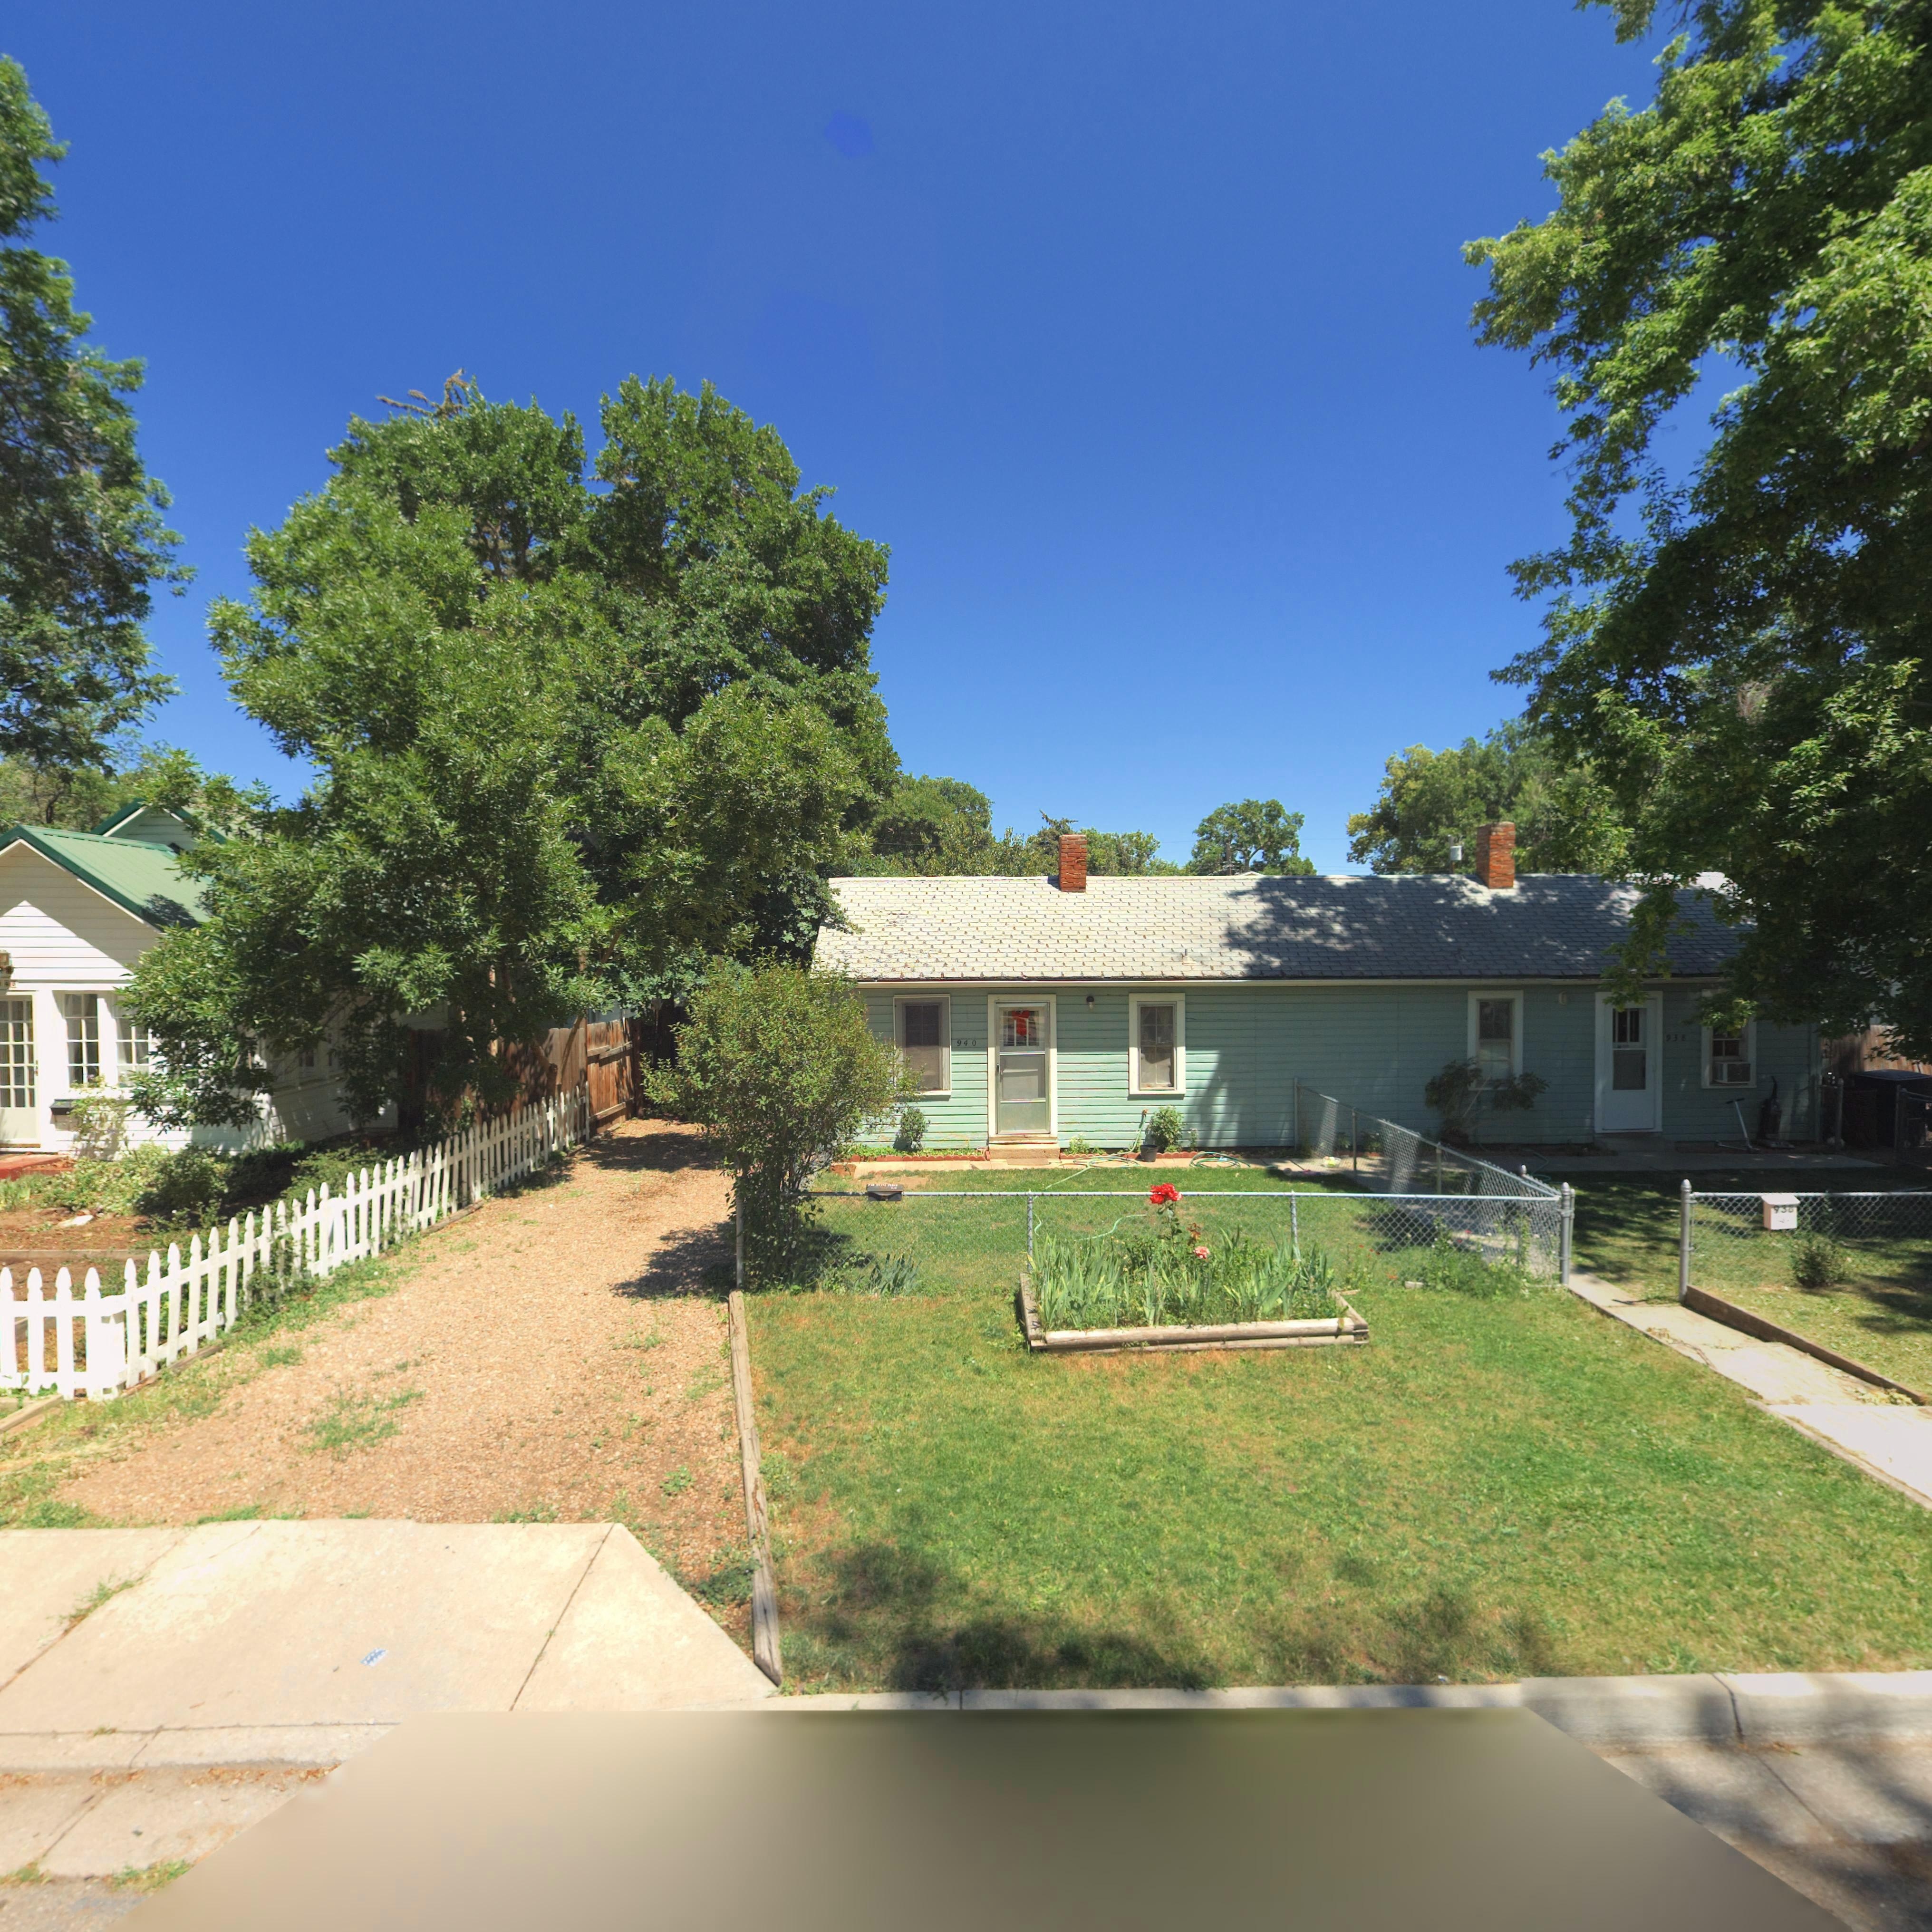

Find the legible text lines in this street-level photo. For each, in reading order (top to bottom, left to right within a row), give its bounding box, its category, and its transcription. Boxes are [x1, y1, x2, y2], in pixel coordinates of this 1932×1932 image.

[3, 981, 16, 986] StreetNumber: 4*
[957, 1039, 976, 1047] StreetNumber: 940
[1772, 1204, 1795, 1215] StreetNumber: 938